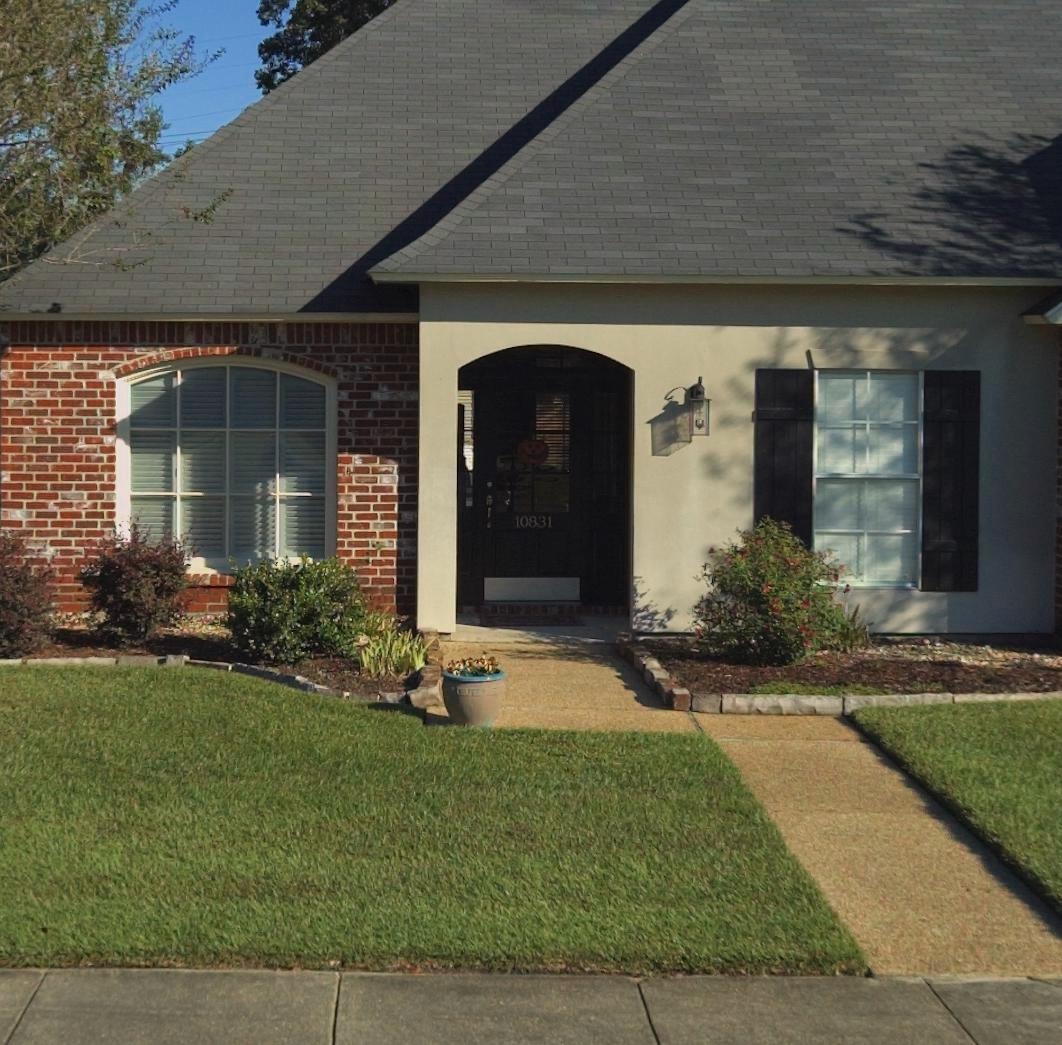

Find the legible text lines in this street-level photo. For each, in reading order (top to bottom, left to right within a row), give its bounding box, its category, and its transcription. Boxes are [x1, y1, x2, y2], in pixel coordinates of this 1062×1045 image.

[513, 513, 554, 530] StreetNumber: 10831